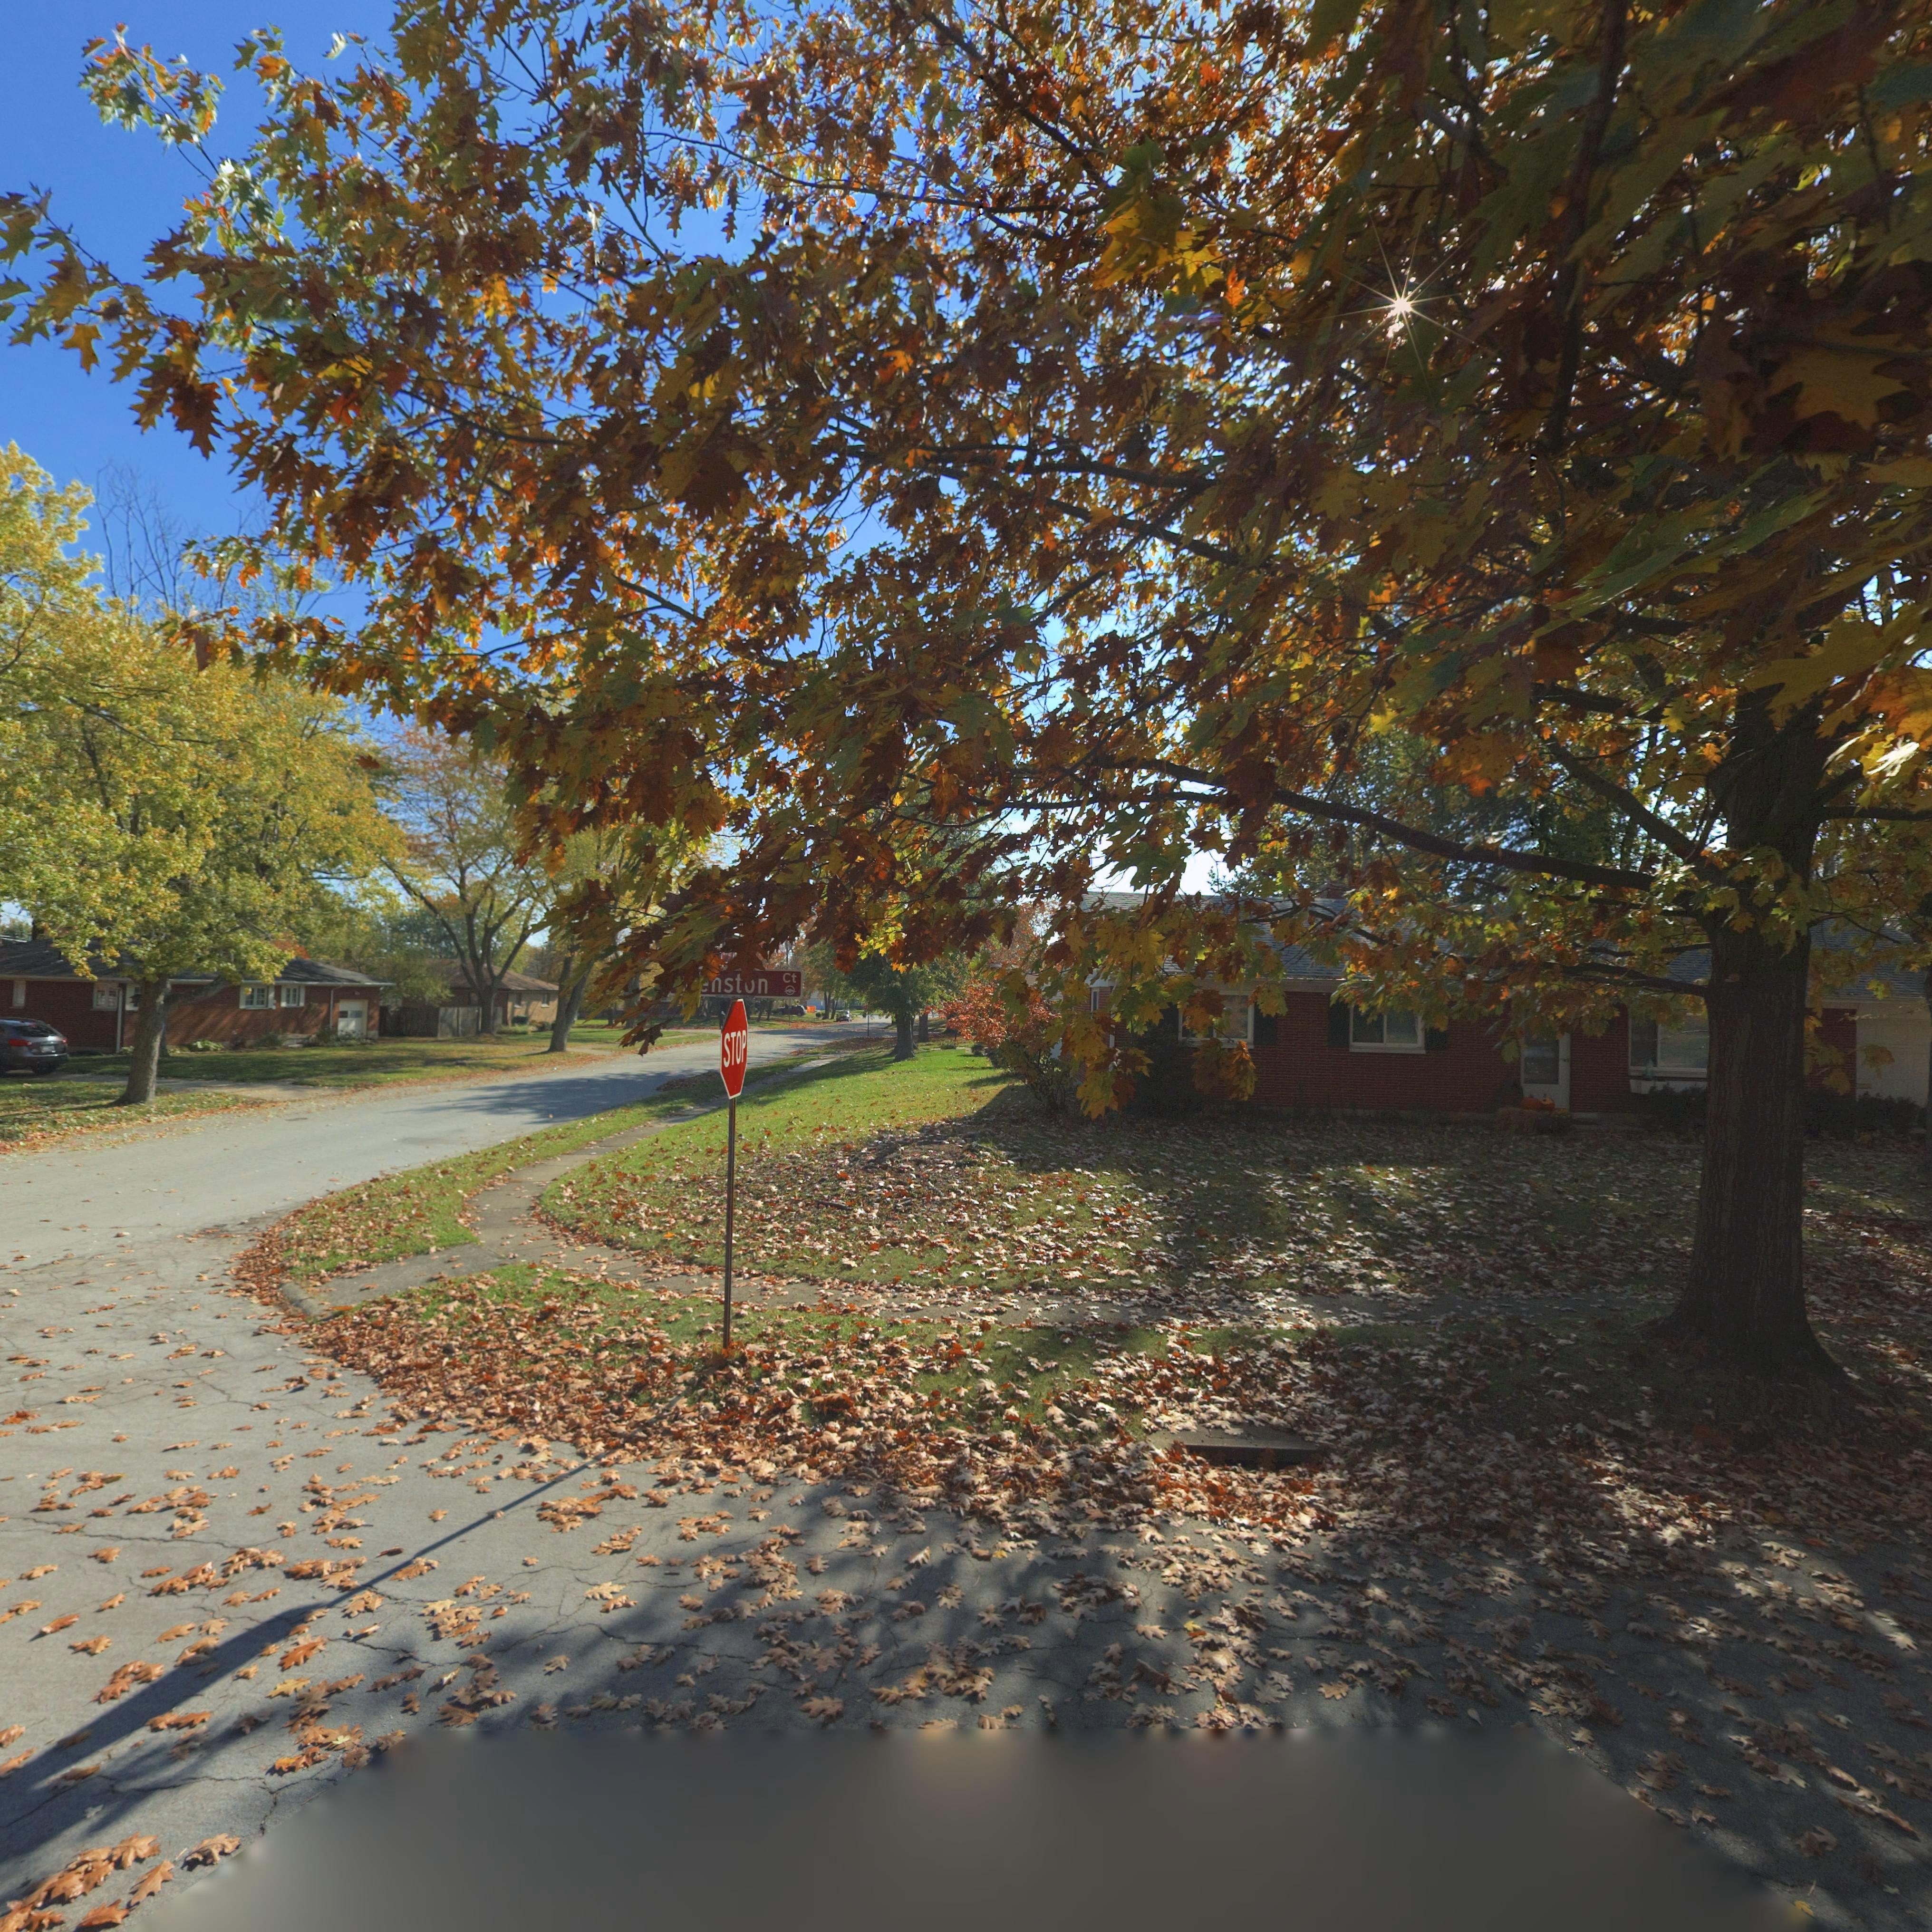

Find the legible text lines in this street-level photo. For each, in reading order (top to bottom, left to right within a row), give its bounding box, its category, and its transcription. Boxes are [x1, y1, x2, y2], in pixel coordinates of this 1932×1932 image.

[700, 972, 797, 995] None: **nst*n Ct
[723, 1029, 747, 1069] None: STOP